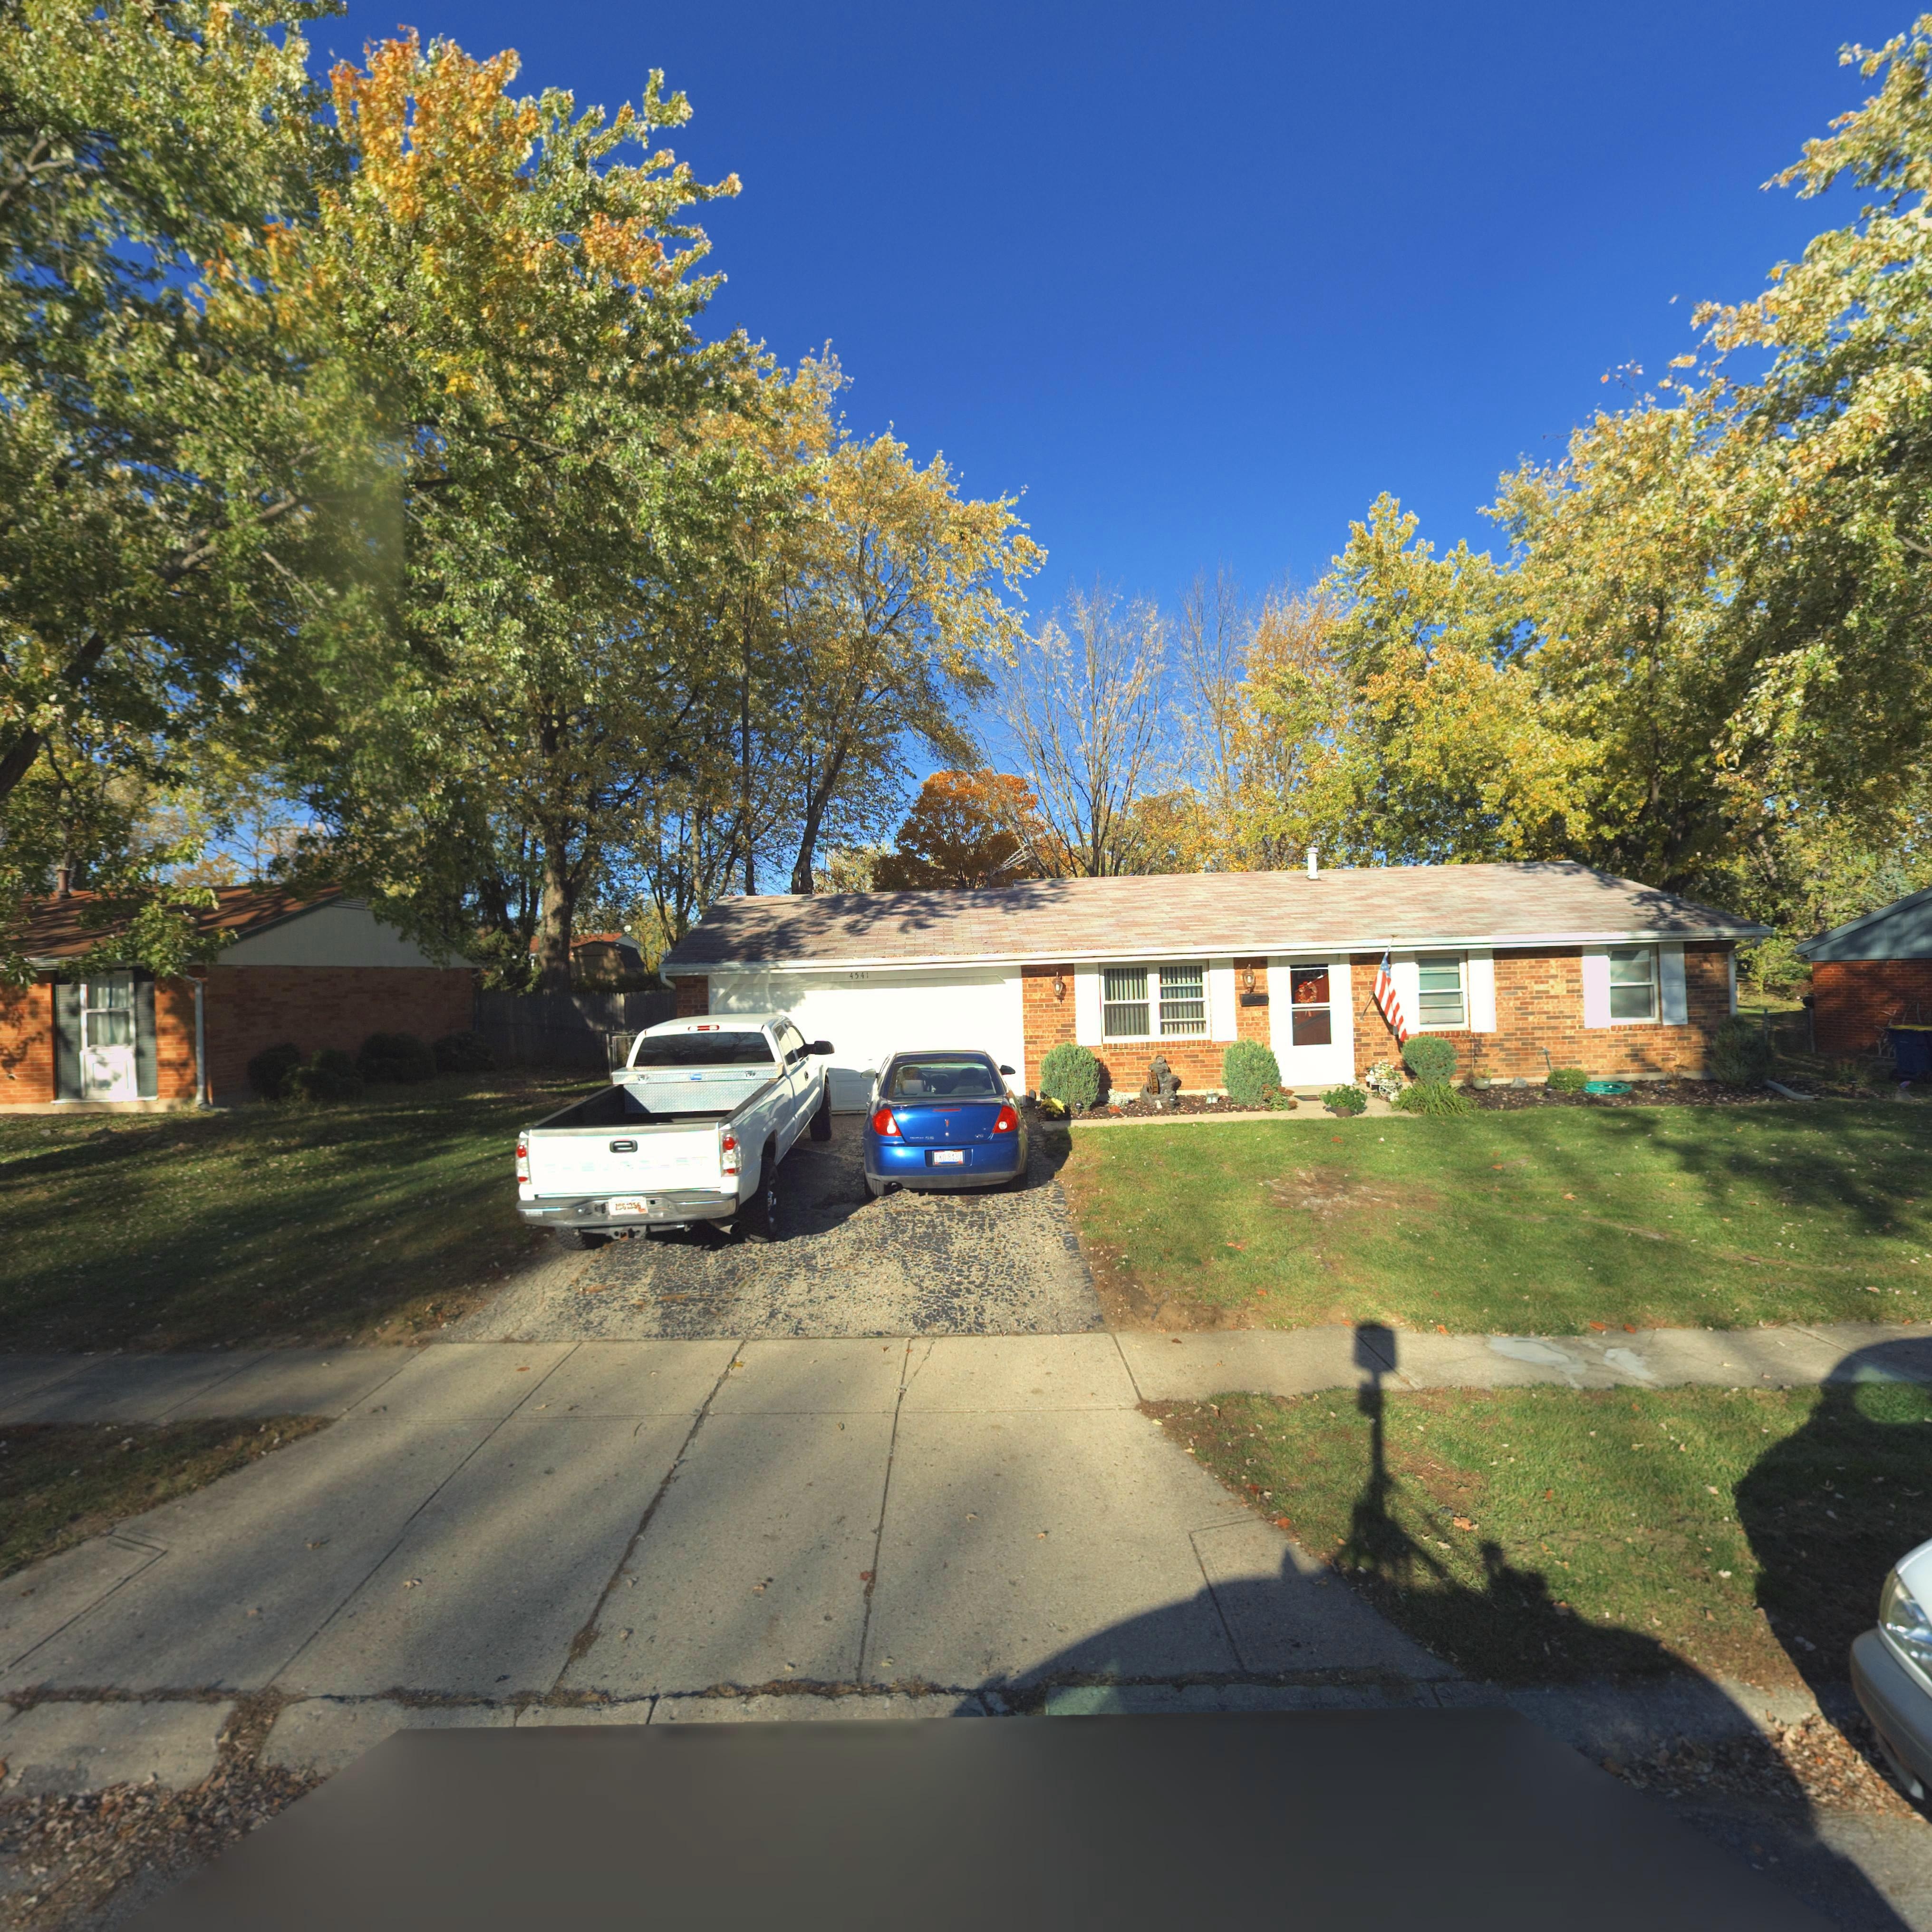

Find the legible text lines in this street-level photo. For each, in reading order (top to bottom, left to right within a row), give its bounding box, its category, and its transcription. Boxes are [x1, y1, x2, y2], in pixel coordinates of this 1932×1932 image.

[849, 971, 869, 980] StreetNumber: 4541